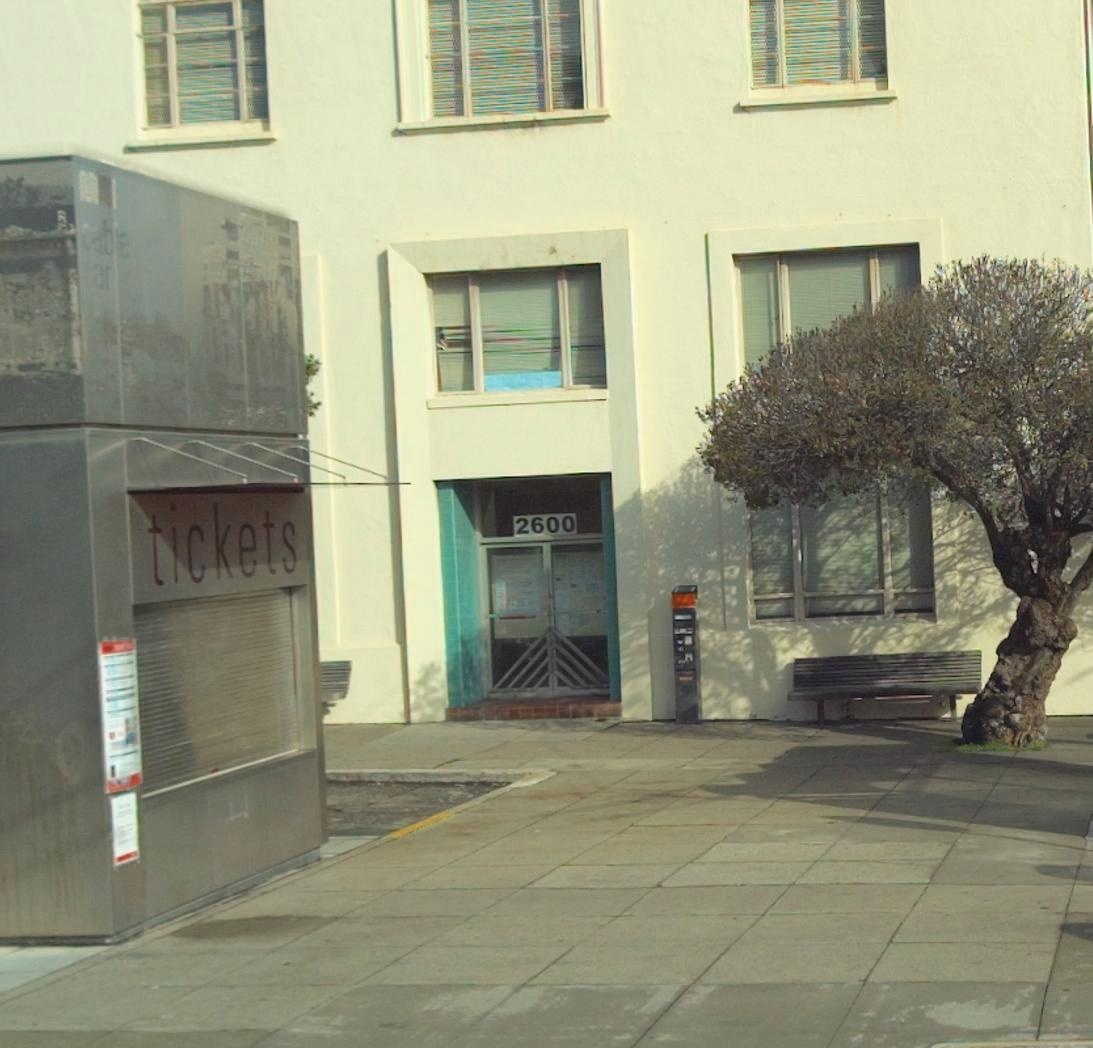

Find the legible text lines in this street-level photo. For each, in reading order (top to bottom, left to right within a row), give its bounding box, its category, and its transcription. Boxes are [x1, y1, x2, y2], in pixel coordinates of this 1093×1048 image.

[142, 498, 302, 592] None: tickets
[513, 513, 577, 537] StreetNumber: 2600